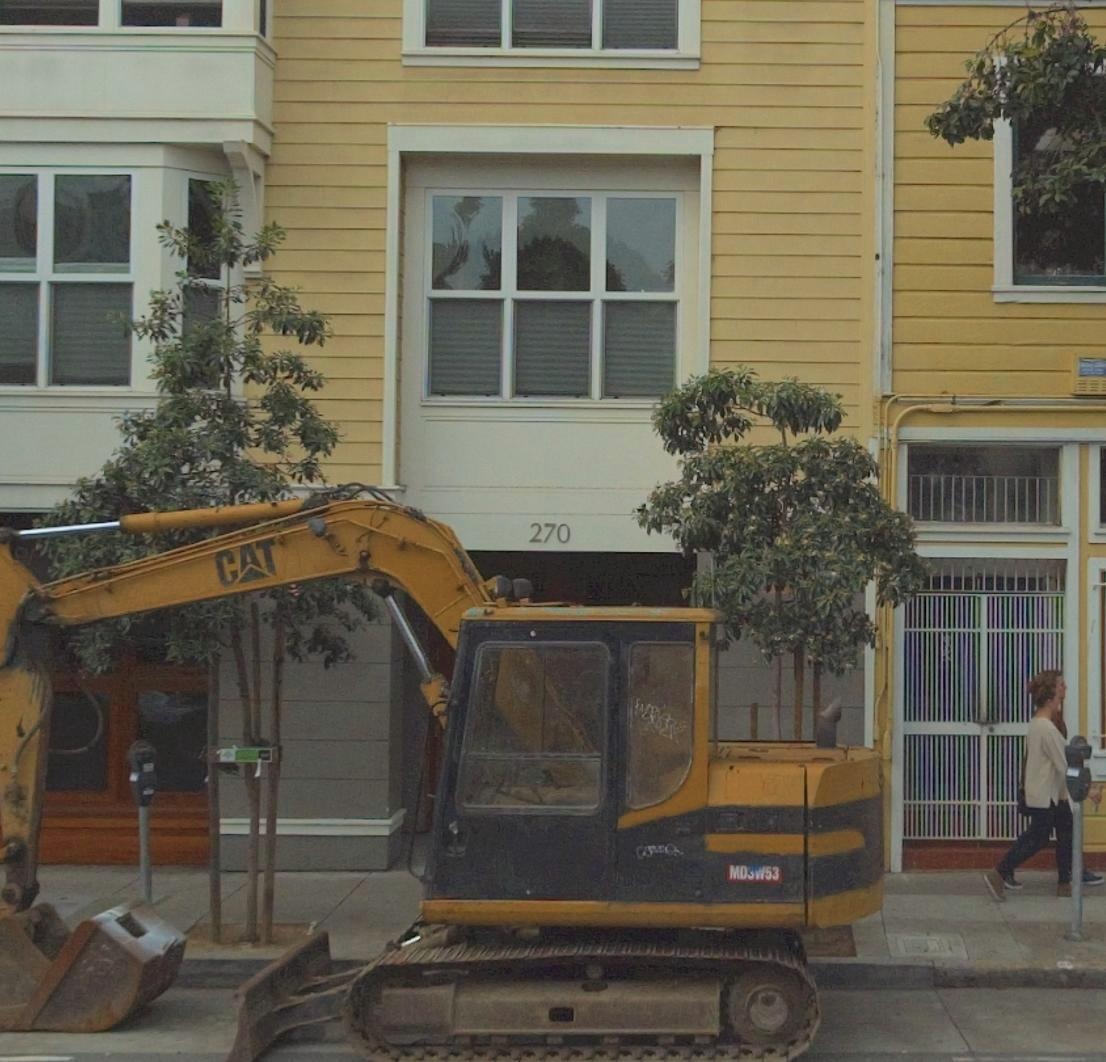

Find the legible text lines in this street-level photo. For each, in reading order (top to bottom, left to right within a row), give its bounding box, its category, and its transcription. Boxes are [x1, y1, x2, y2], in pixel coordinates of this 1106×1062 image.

[527, 520, 572, 546] StreetNumber: 270
[211, 533, 282, 592] None: C*T
[727, 862, 782, 883] None: MD*W53